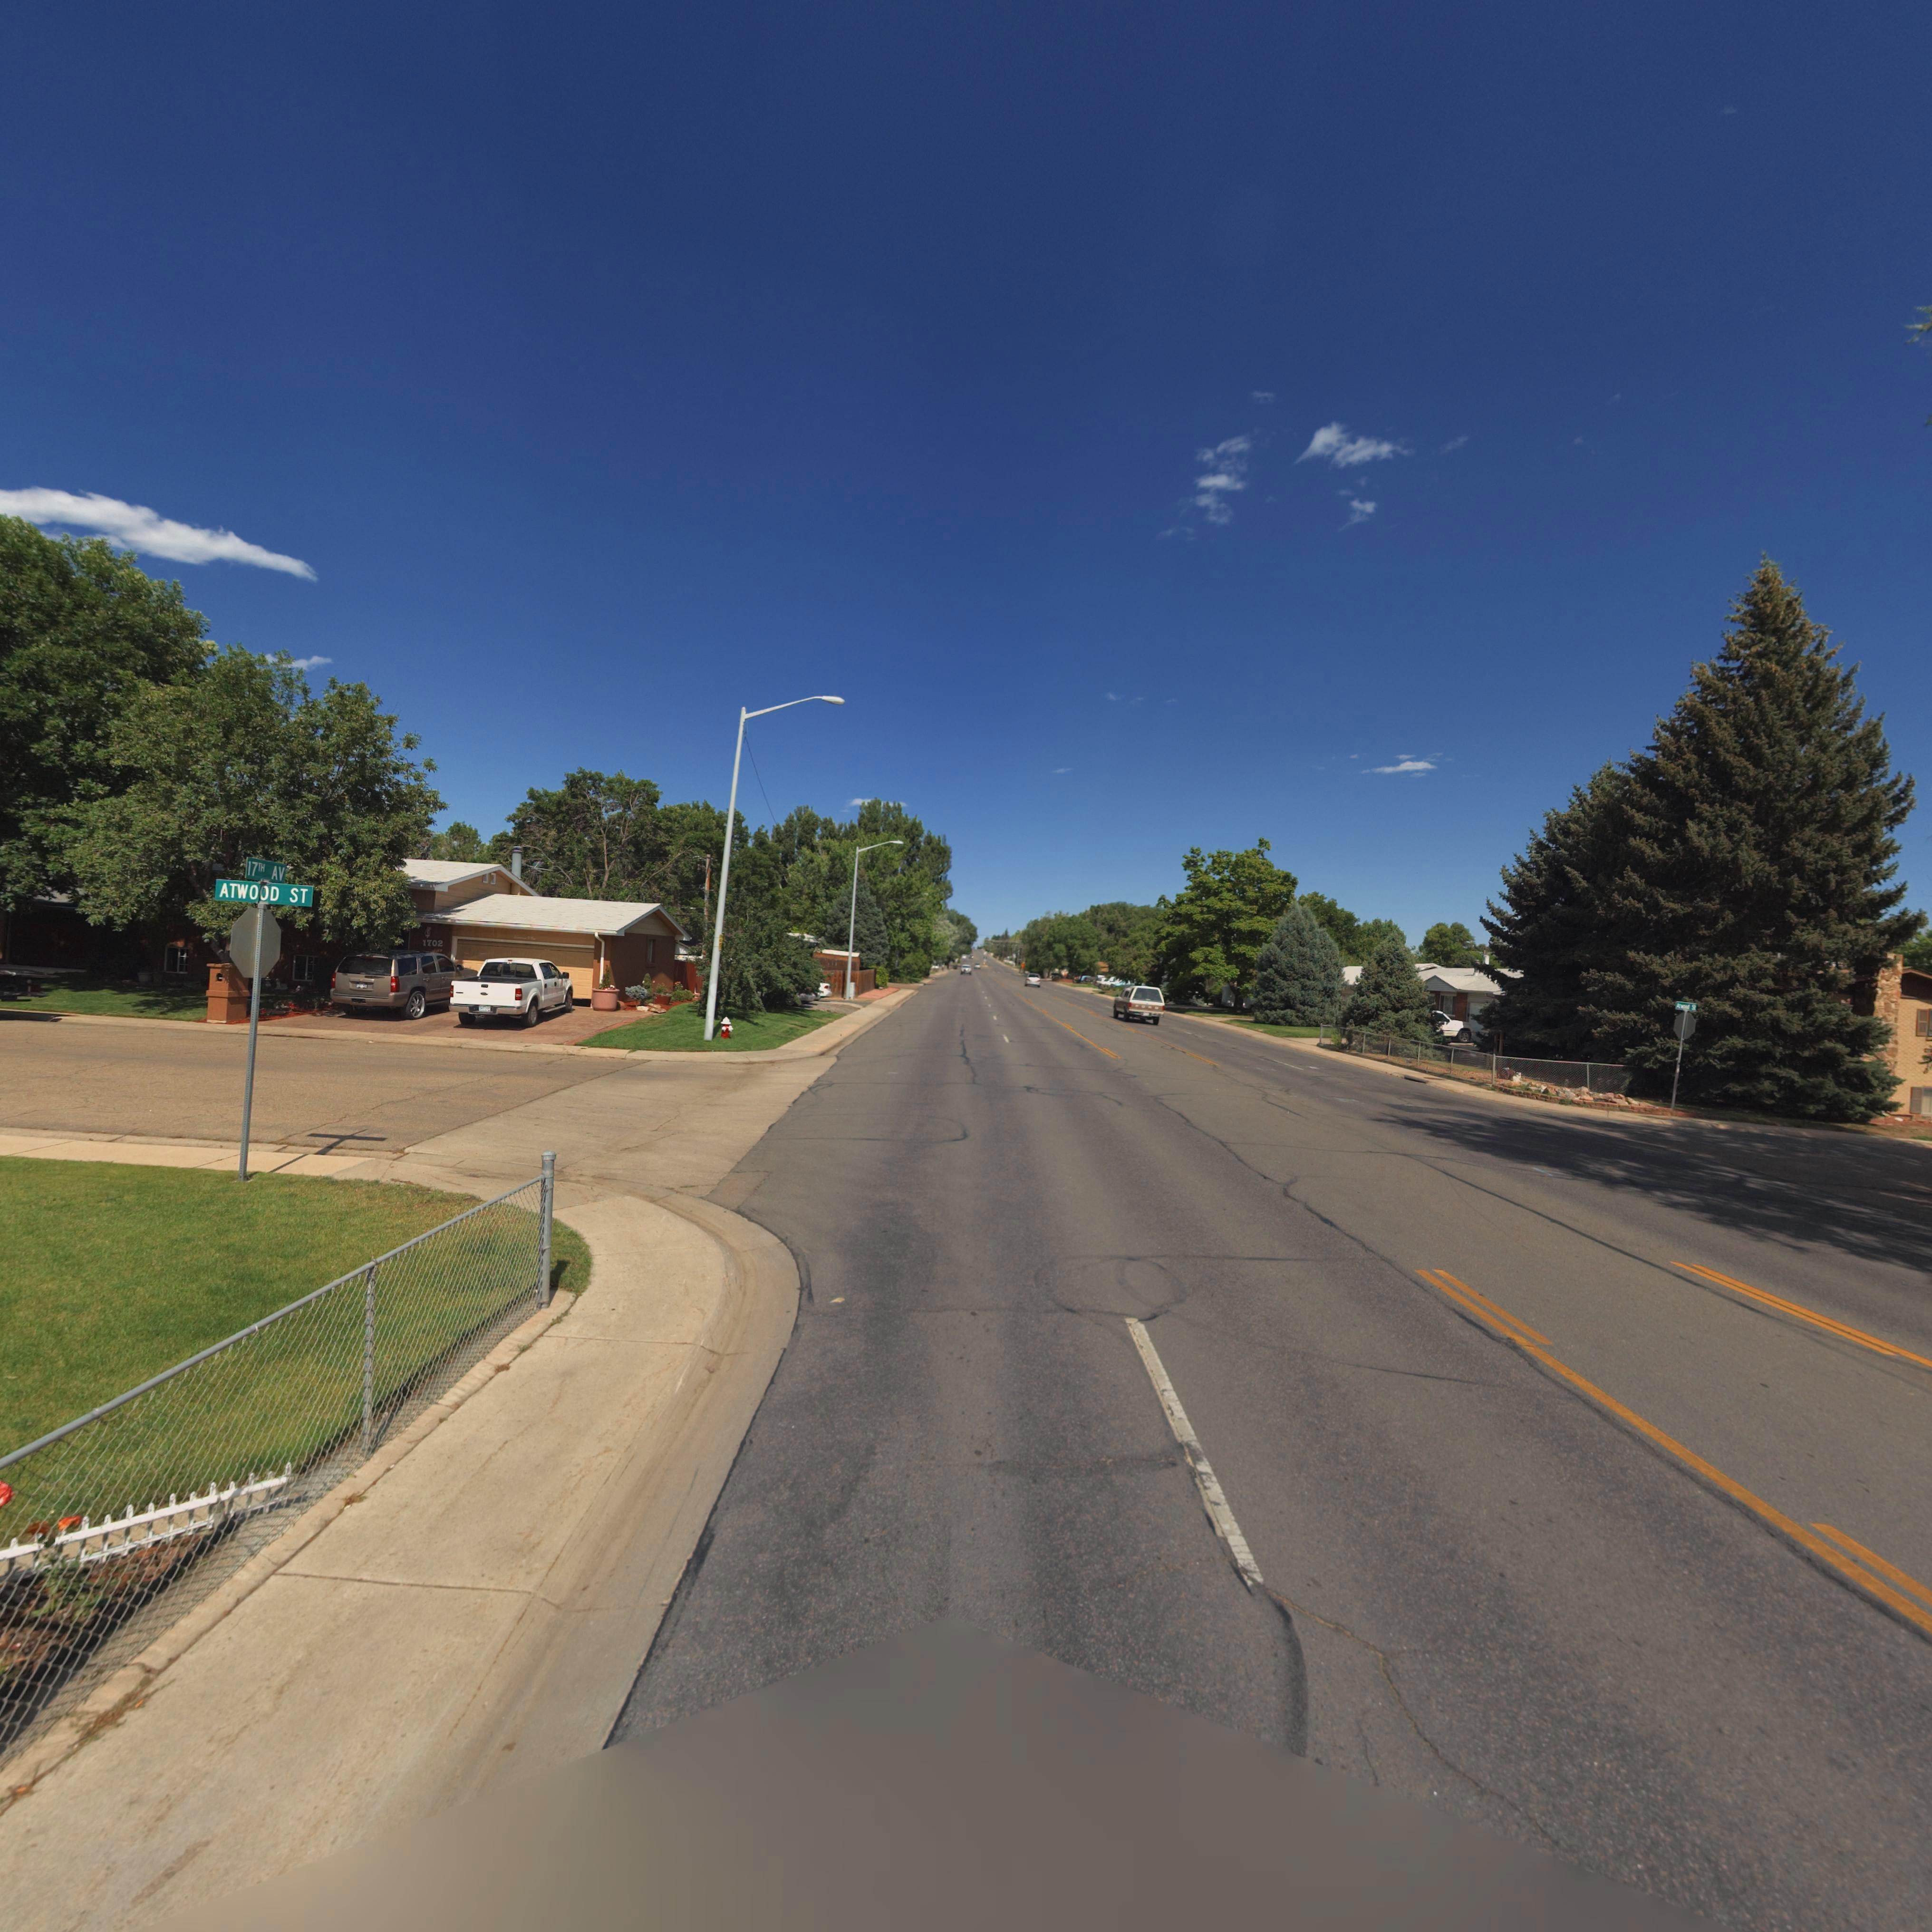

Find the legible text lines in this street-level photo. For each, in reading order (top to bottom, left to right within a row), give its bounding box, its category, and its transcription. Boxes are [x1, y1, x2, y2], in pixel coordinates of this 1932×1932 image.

[247, 860, 285, 881] StreetName: 17TH AV
[219, 882, 308, 904] StreetName: ATWOOD ST
[422, 939, 443, 947] StreetNumber: 1702
[1675, 1003, 1696, 1010] StreetName: A**O** S*